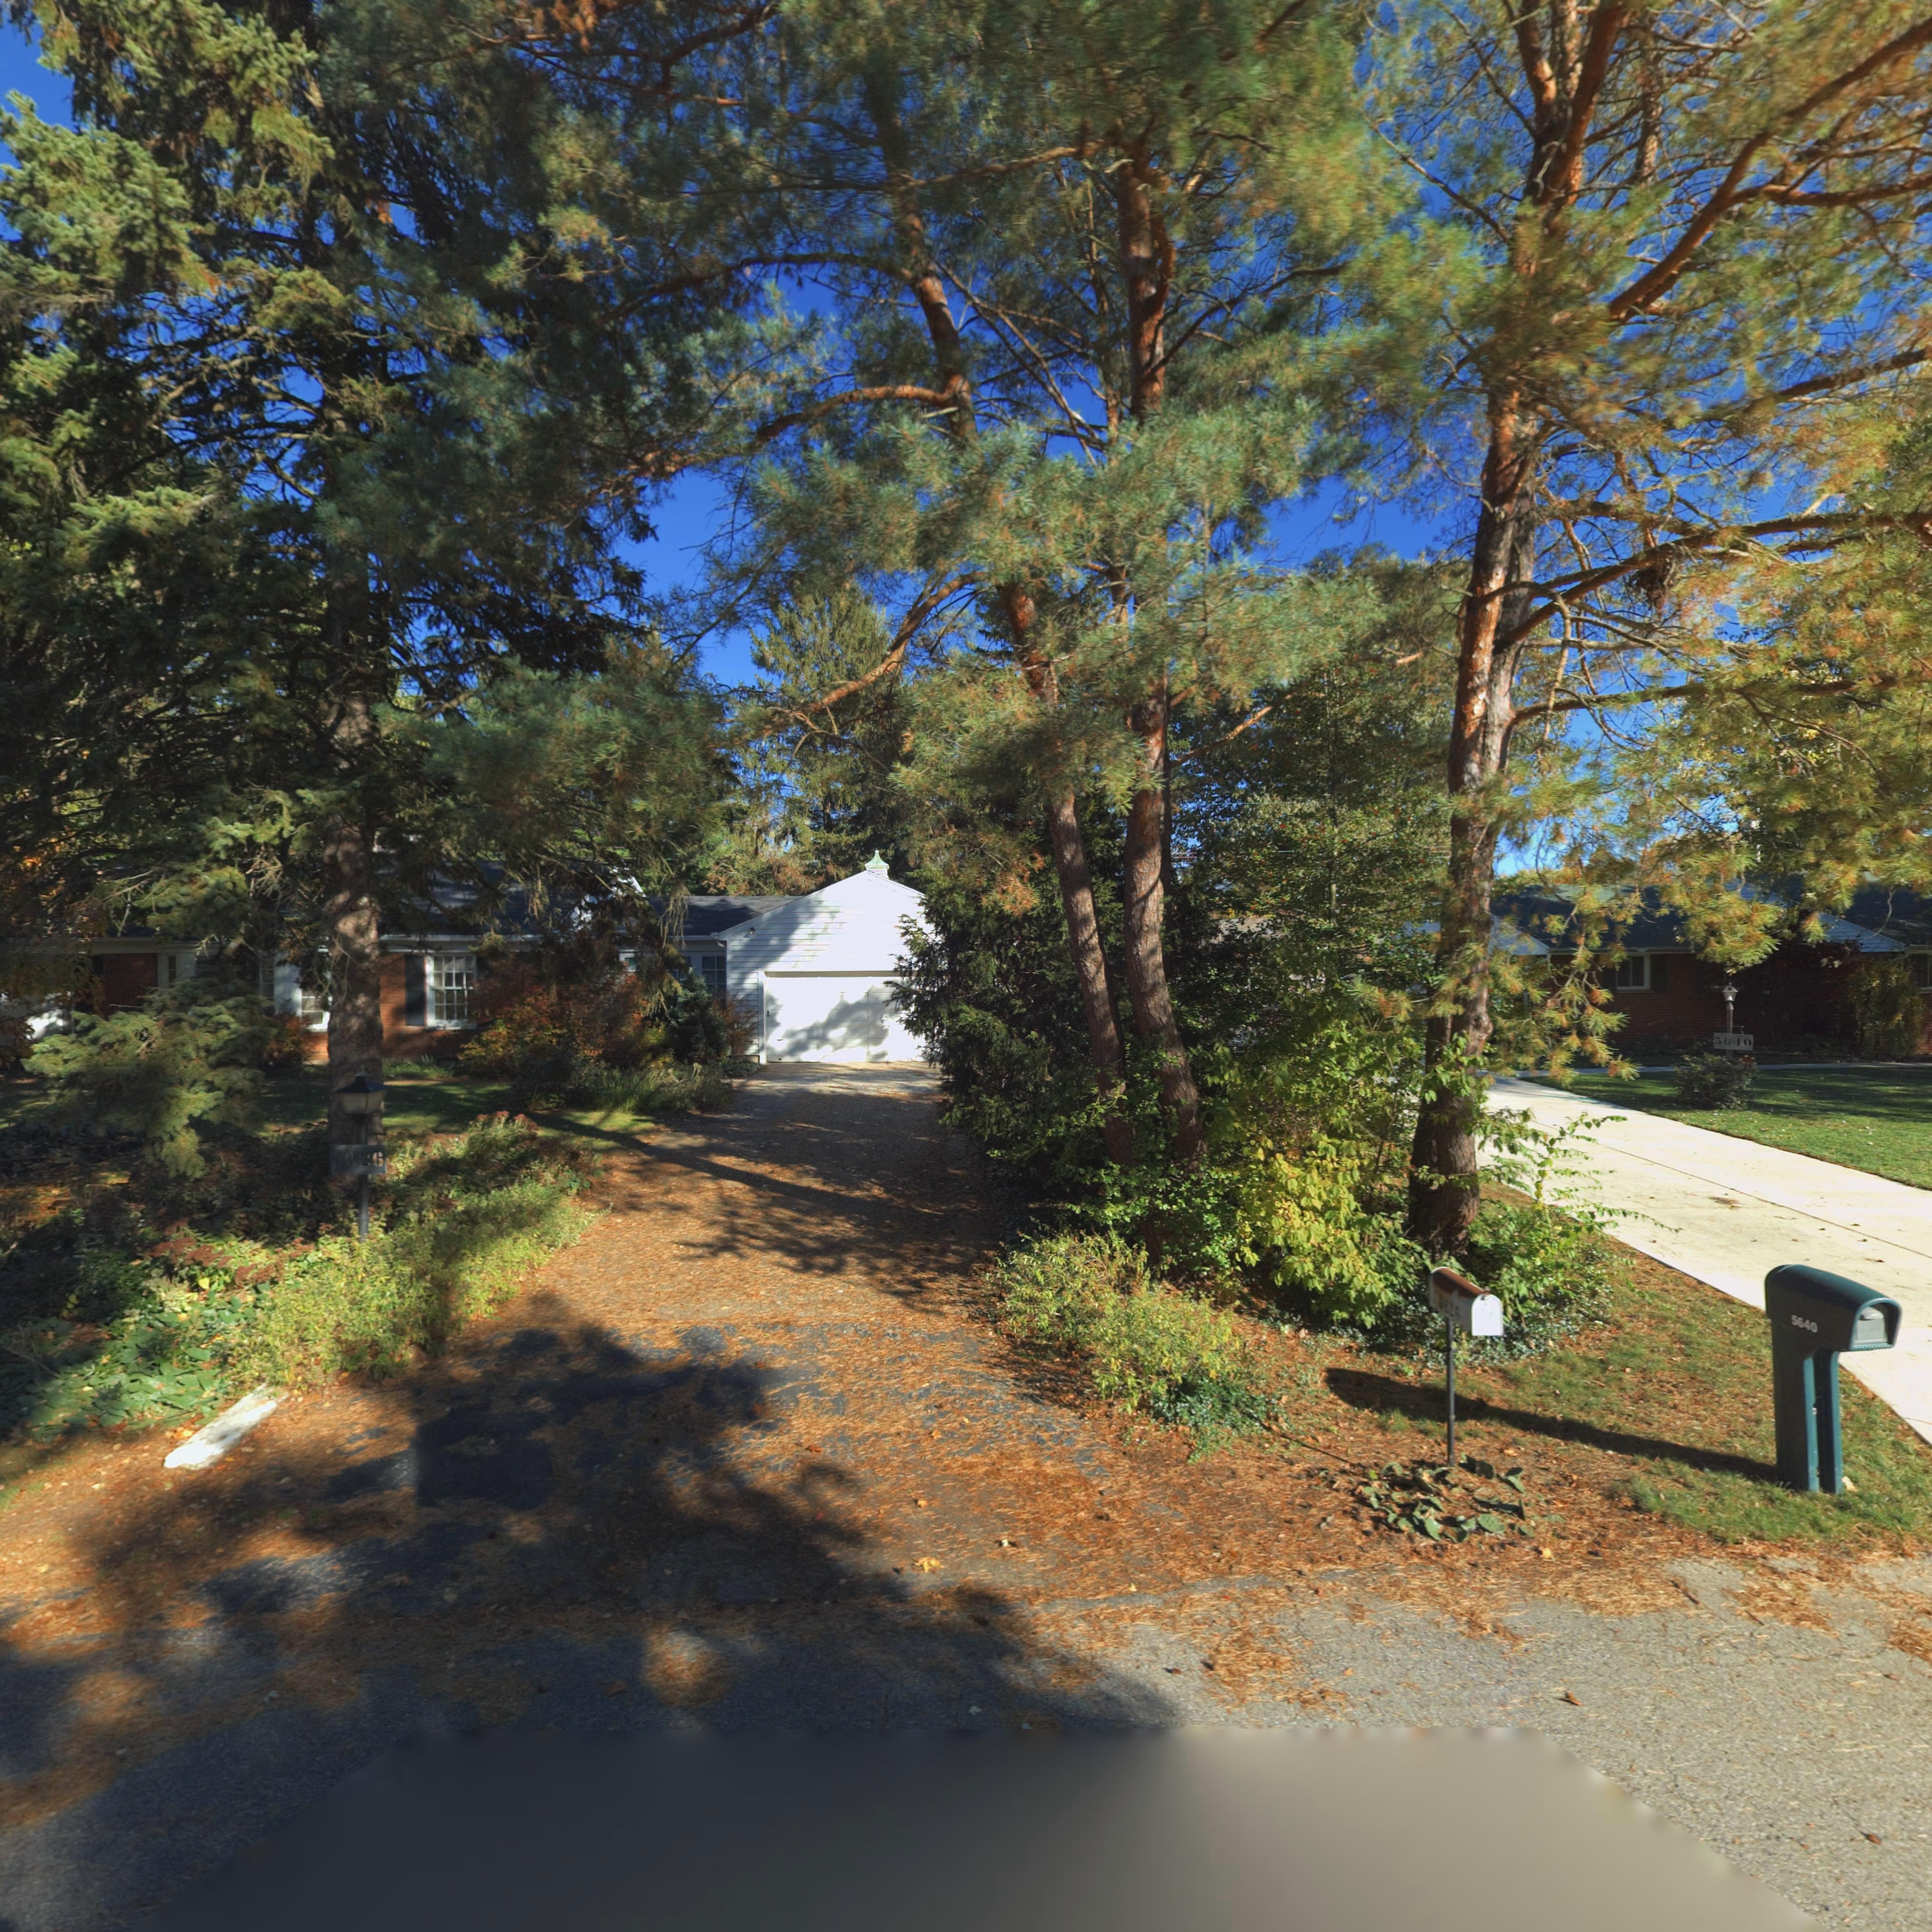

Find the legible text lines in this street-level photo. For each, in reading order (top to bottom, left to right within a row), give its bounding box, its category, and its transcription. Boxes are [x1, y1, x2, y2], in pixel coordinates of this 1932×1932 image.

[1713, 1035, 1753, 1047] StreetNumber: 5640
[331, 1150, 385, 1168] StreetNumber: 5626
[1438, 1293, 1462, 1323] StreetNumber: 5626
[1790, 1313, 1819, 1334] StreetNumber: 5640